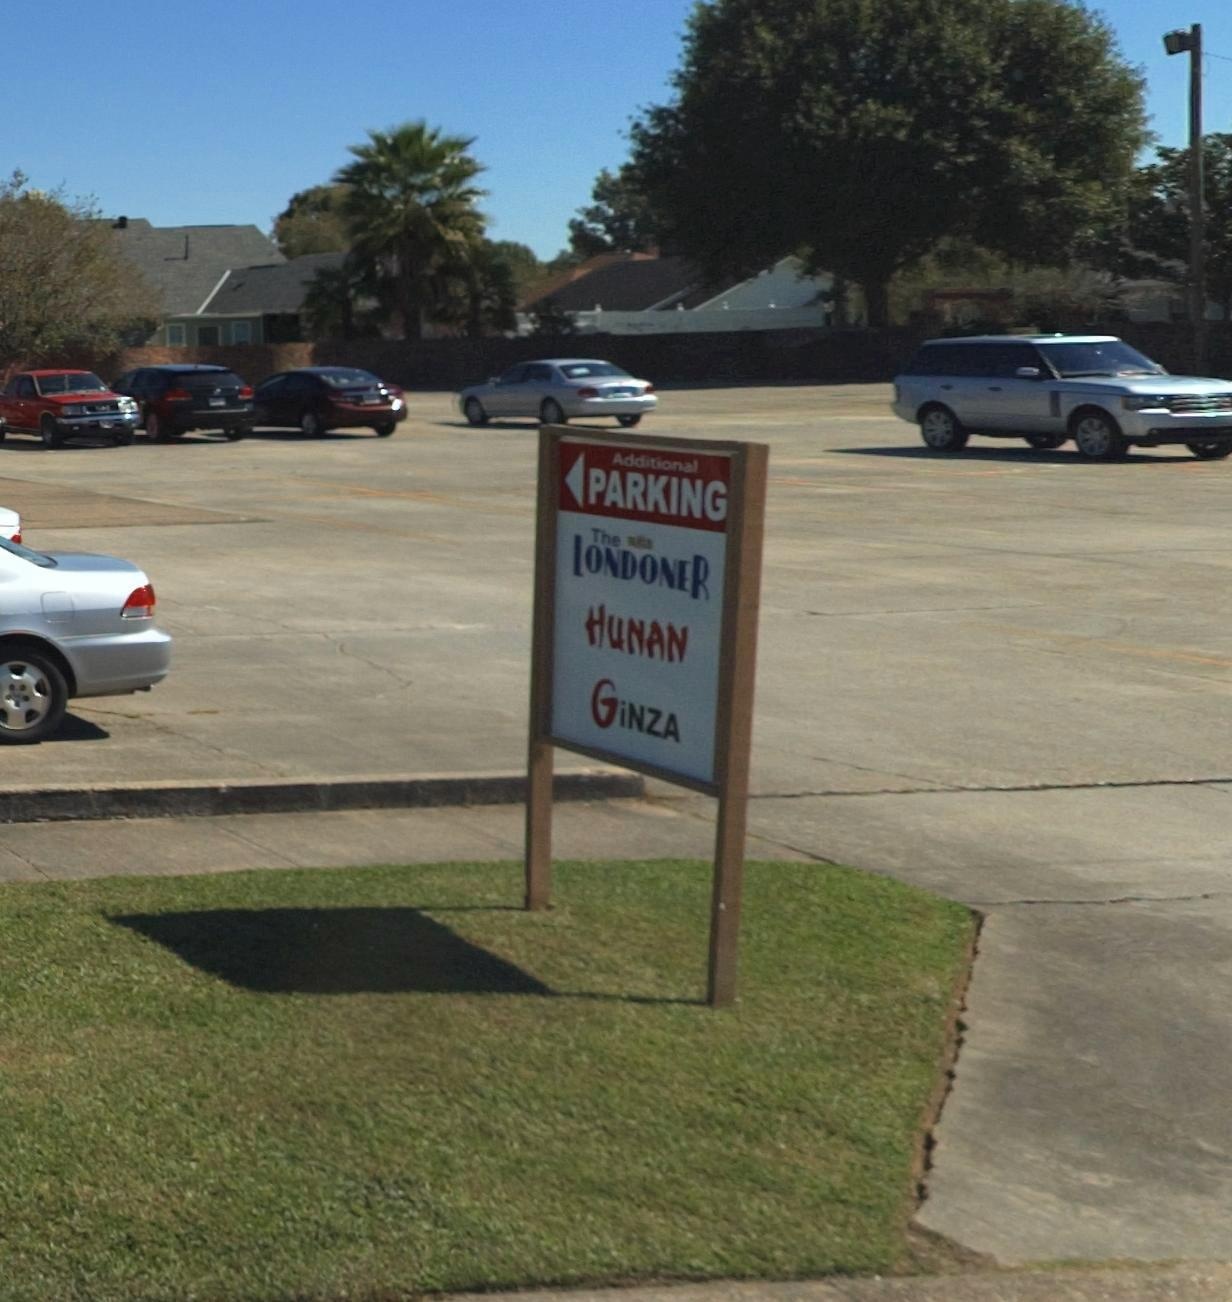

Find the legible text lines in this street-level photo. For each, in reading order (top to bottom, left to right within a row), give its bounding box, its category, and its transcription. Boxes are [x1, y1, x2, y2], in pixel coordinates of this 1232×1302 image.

[608, 449, 701, 477] None: Additional
[585, 464, 731, 525] None: PARKING
[586, 524, 625, 551] BusinessName: The
[570, 529, 715, 606] BusinessName: LONDONER
[582, 601, 693, 669] BusinessName: HUNAN
[589, 674, 686, 747] BusinessName: GiNZA